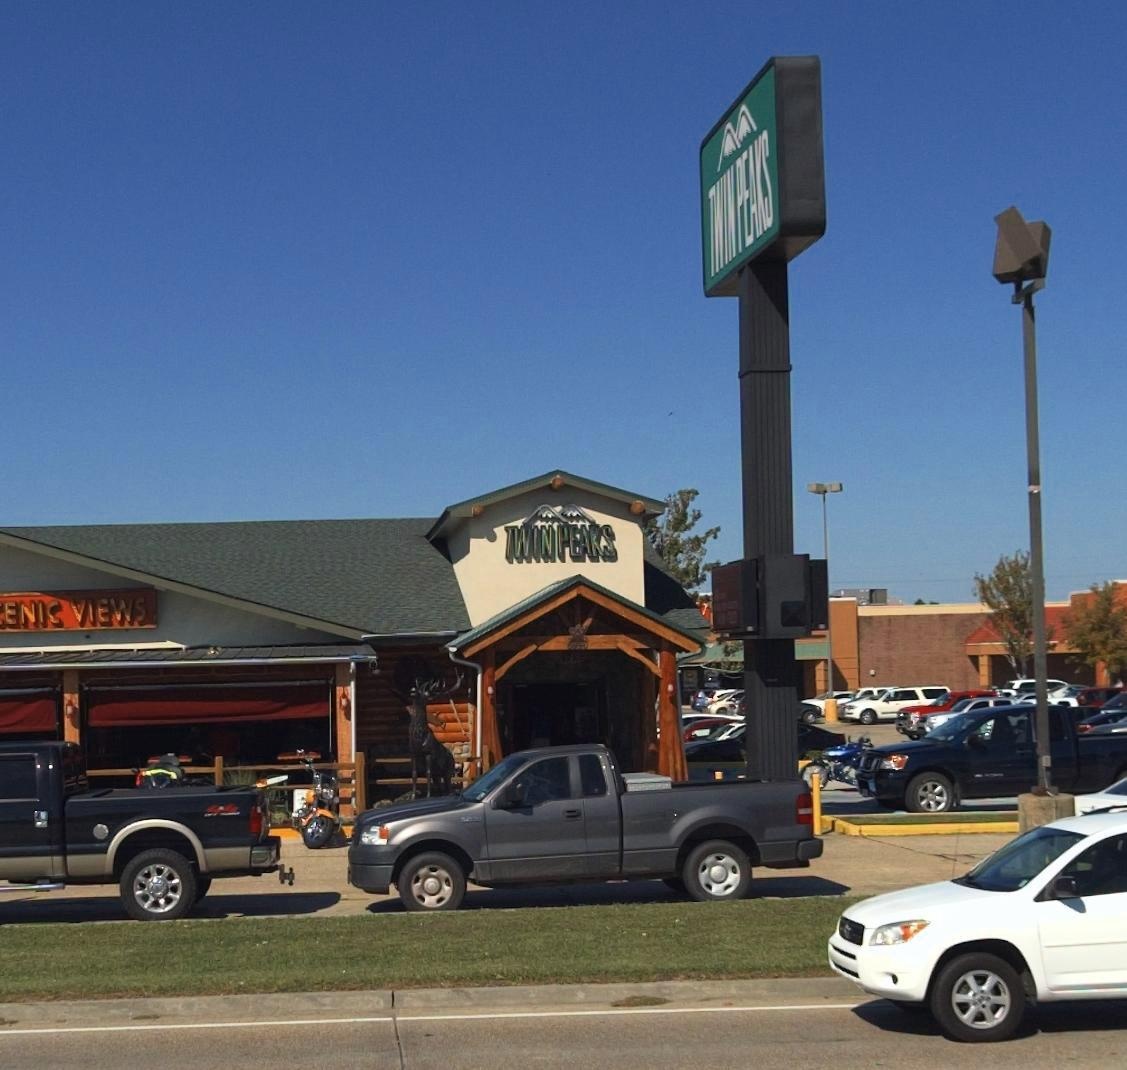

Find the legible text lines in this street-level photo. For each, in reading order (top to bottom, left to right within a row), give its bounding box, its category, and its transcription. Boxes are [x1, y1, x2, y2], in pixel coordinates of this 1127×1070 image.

[704, 122, 777, 286] BusinessName: TWIN PEAKS
[501, 520, 620, 565] BusinessName: TWIN PEAKS
[1, 593, 150, 628] None: ENIC VIEWS